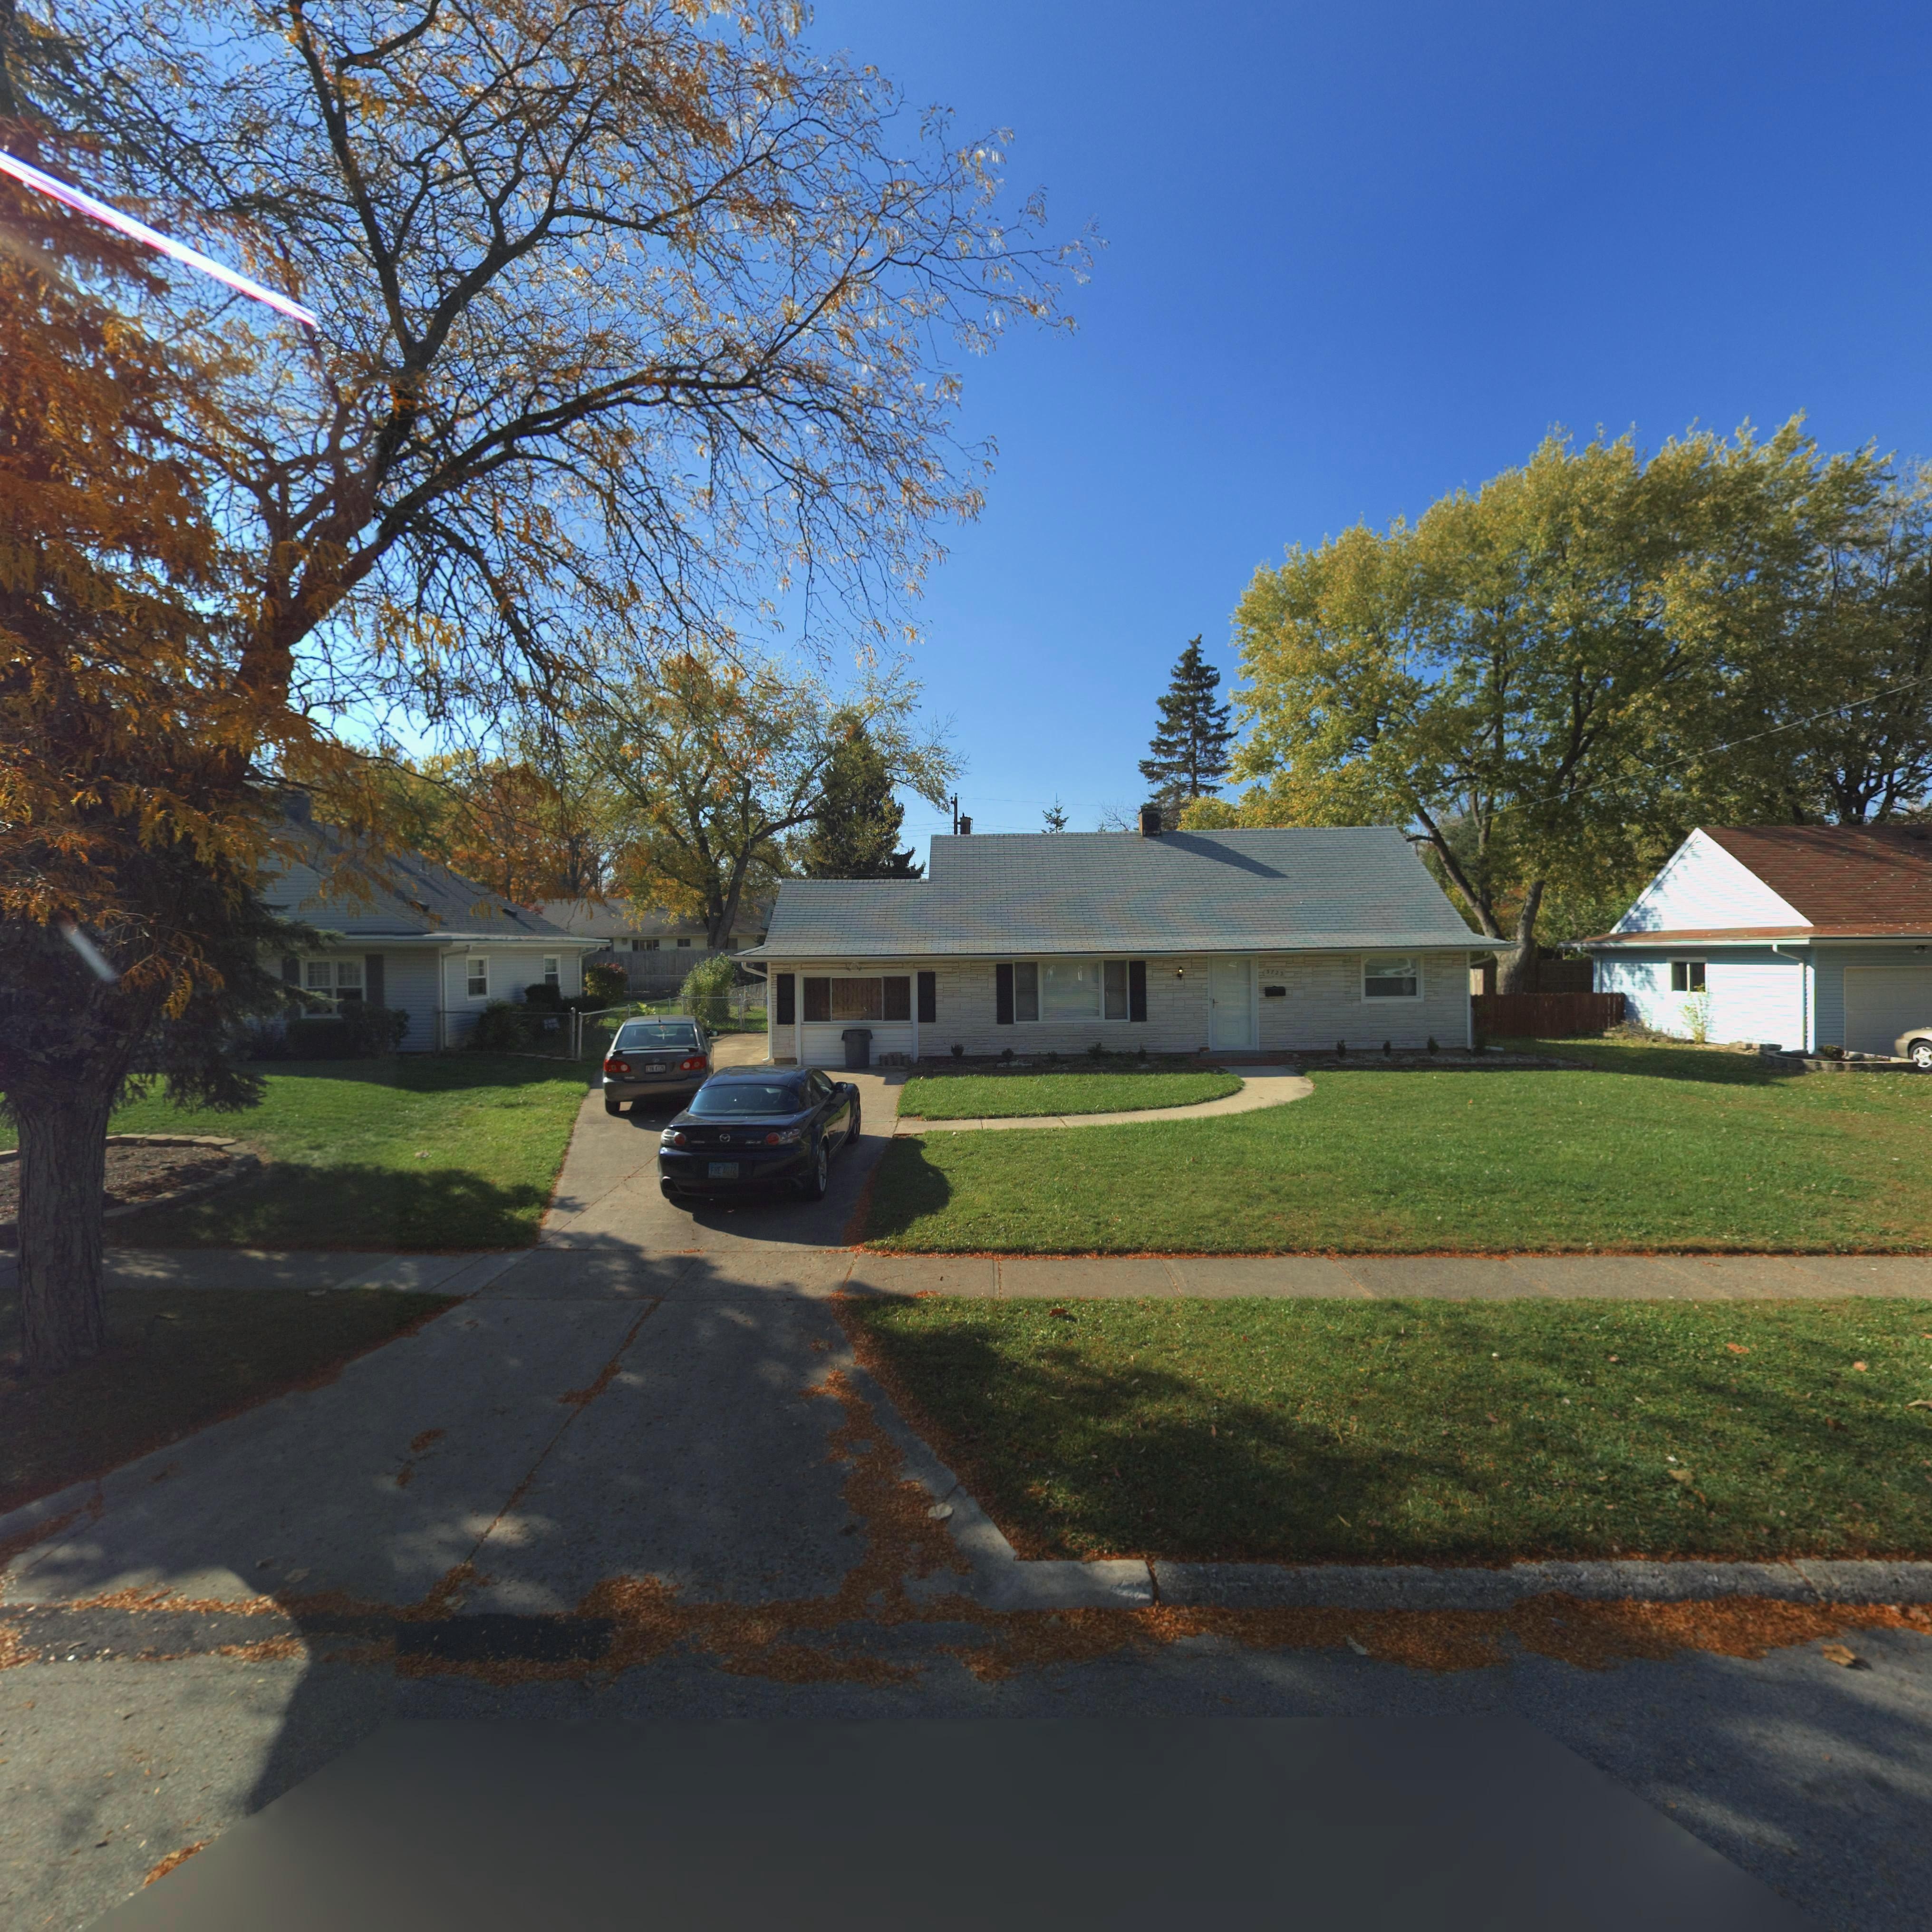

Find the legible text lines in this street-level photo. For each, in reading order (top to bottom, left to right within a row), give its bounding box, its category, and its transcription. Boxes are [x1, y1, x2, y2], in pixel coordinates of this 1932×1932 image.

[1265, 969, 1284, 977] StreetNumber: 3723
[646, 1066, 665, 1072] None: E*N*472*
[710, 1166, 737, 1175] None: FHE*4072